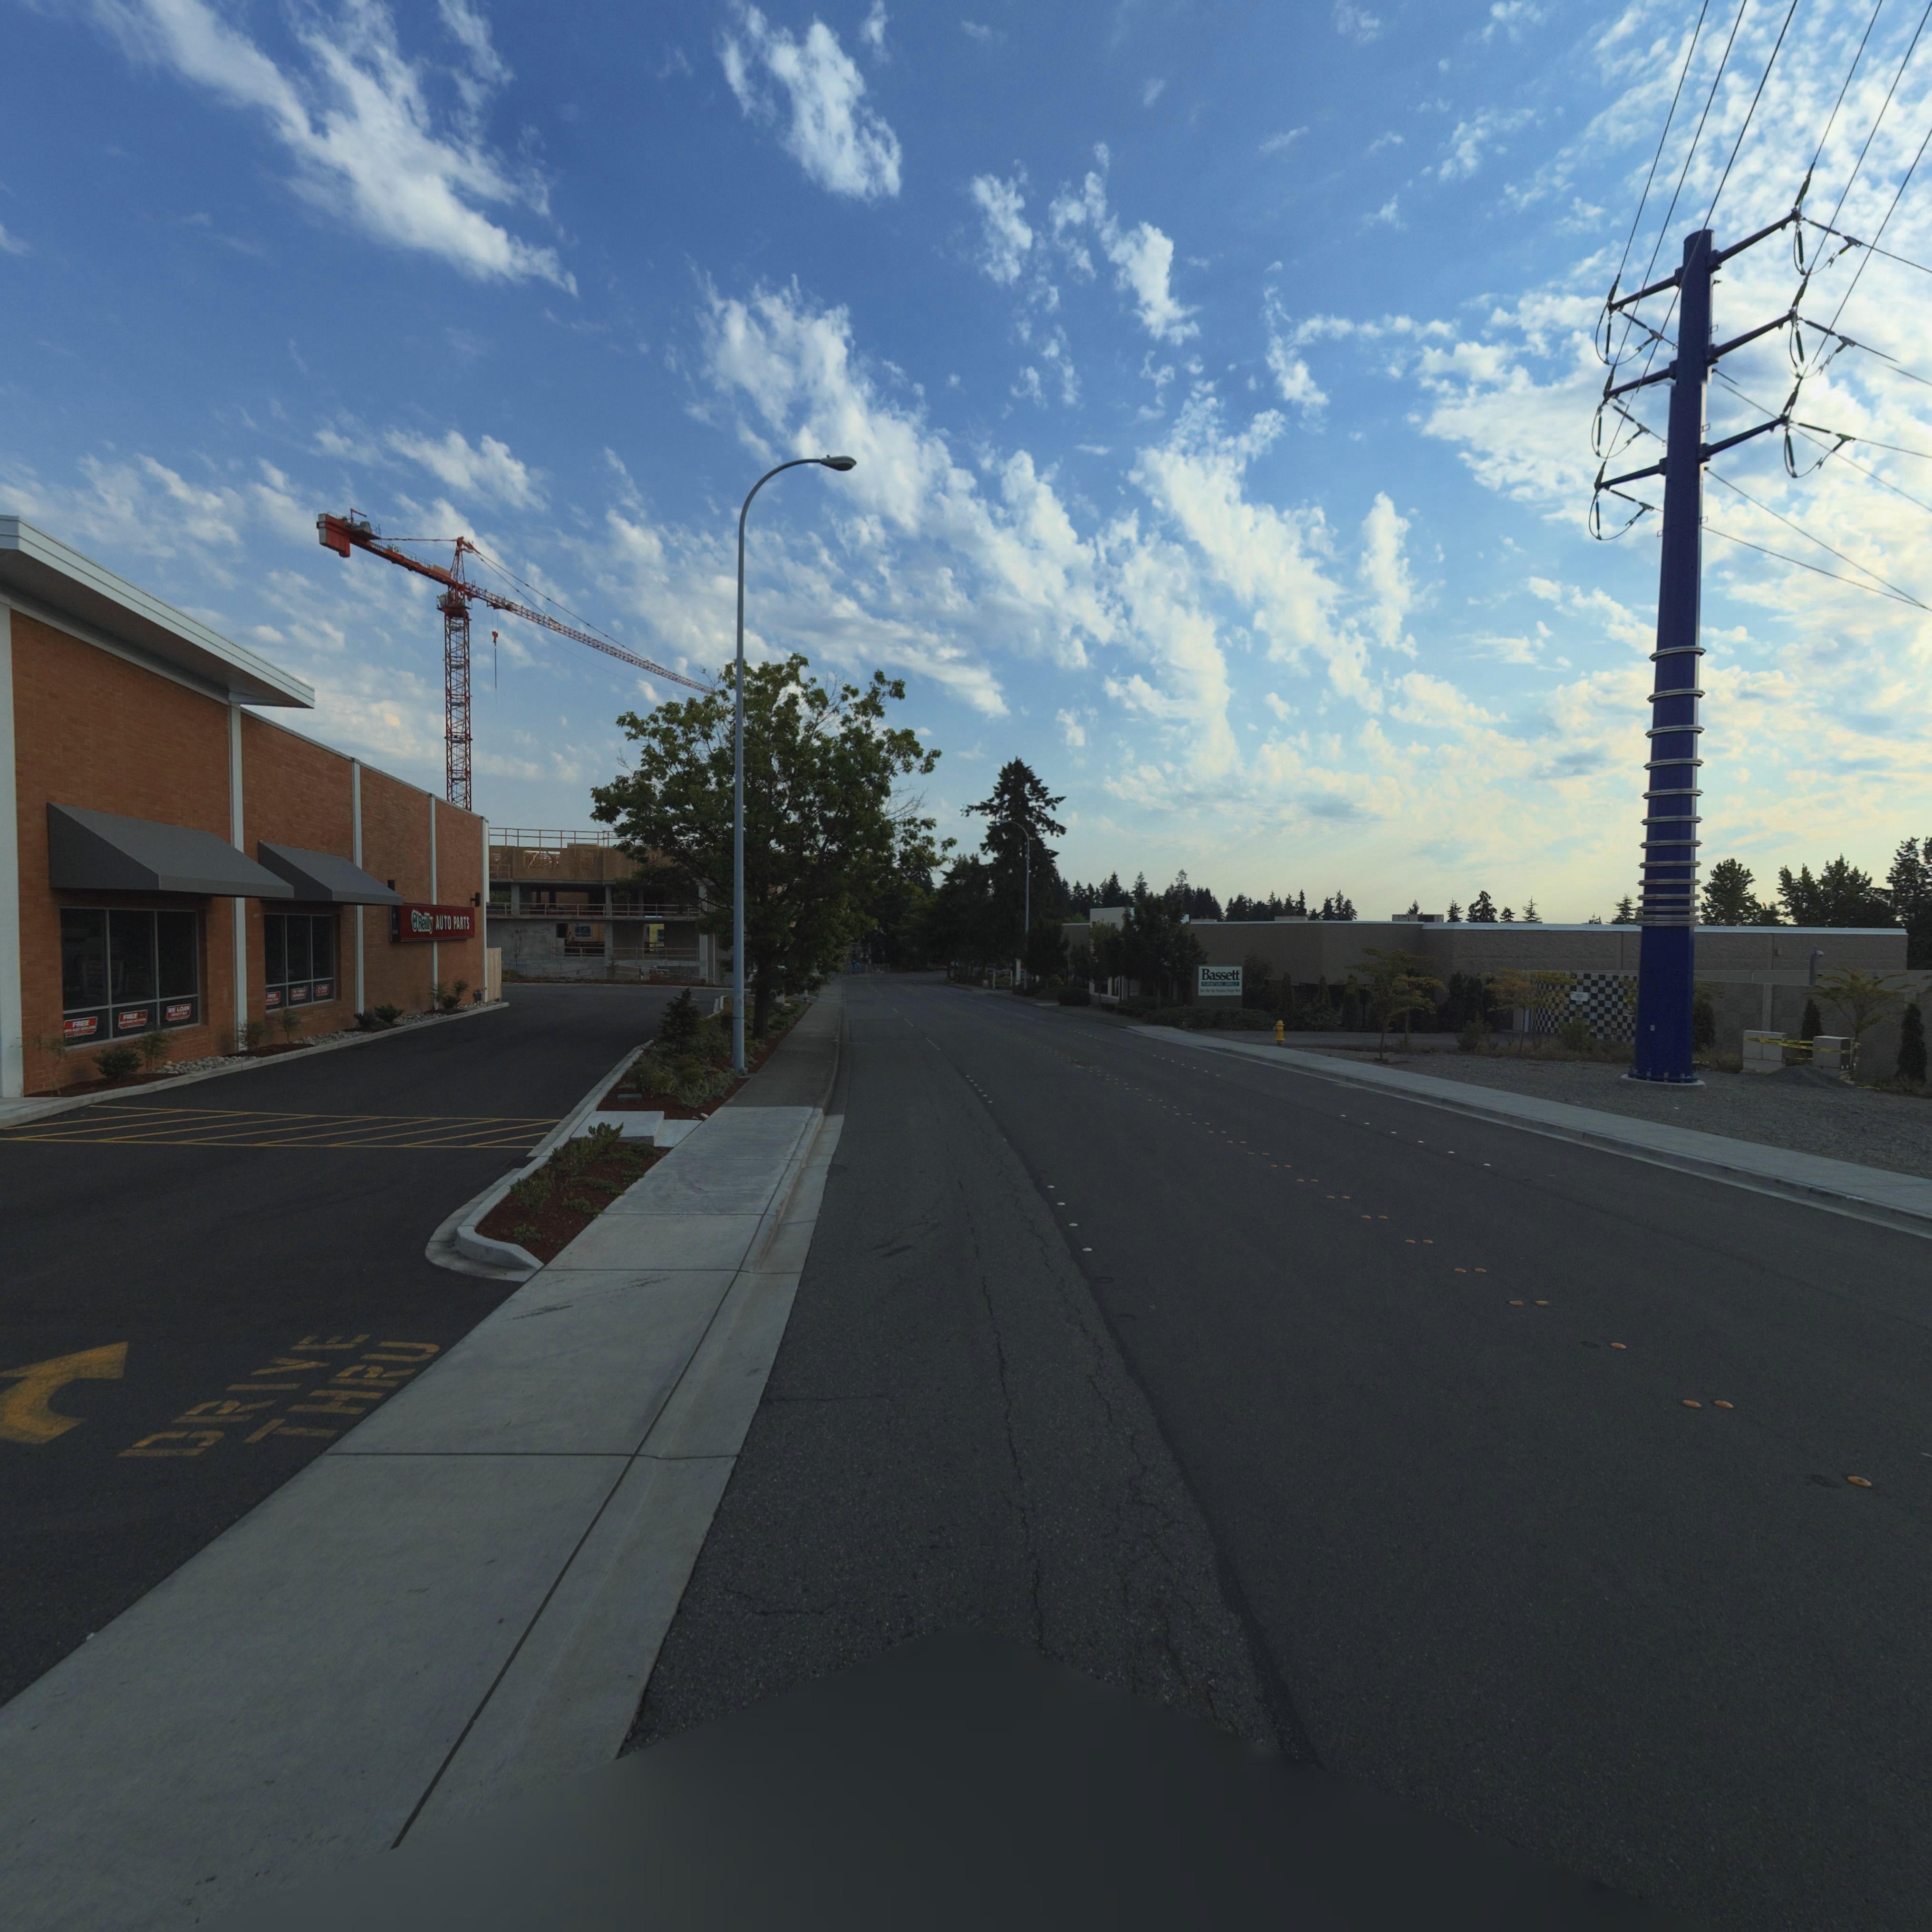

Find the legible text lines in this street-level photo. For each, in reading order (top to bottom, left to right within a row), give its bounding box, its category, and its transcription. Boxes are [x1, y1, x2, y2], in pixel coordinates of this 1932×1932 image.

[411, 909, 433, 934] None: O'Reilly
[435, 915, 469, 930] BusinessName: AUTO PARTS